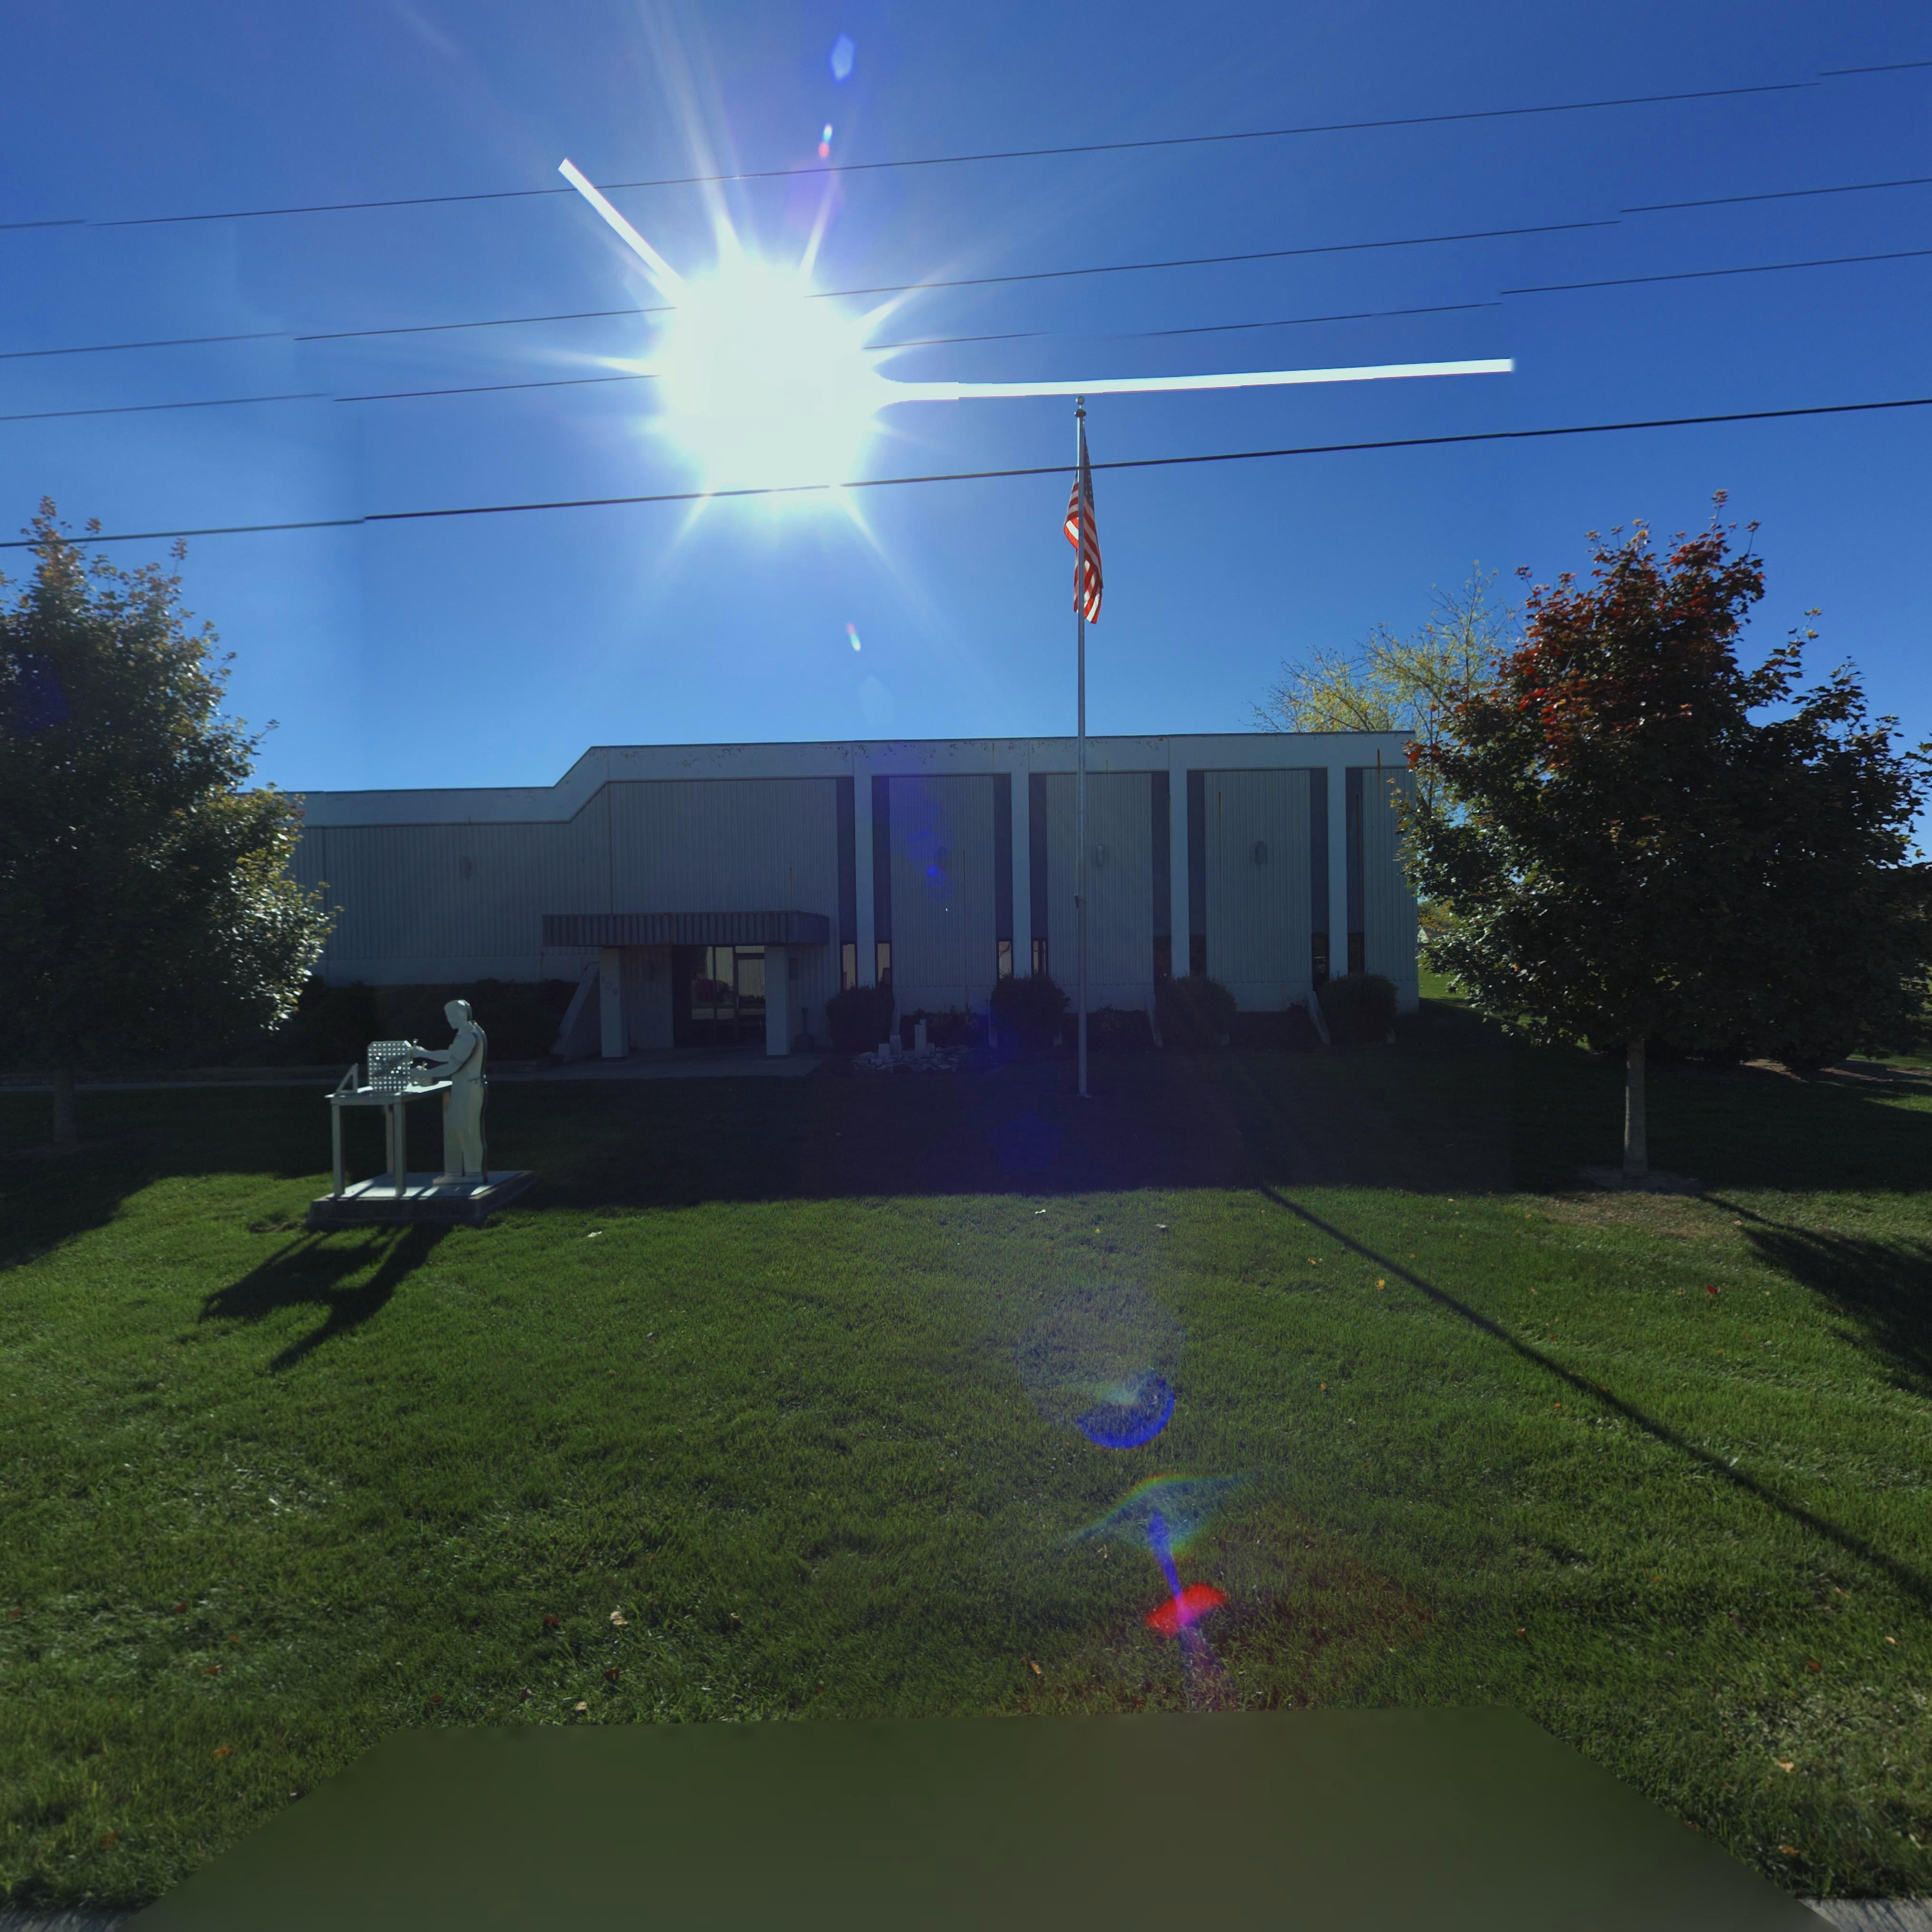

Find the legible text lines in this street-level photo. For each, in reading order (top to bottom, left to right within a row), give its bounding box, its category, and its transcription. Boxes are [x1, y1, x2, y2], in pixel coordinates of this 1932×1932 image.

[600, 974, 619, 997] StreetNumber: 109